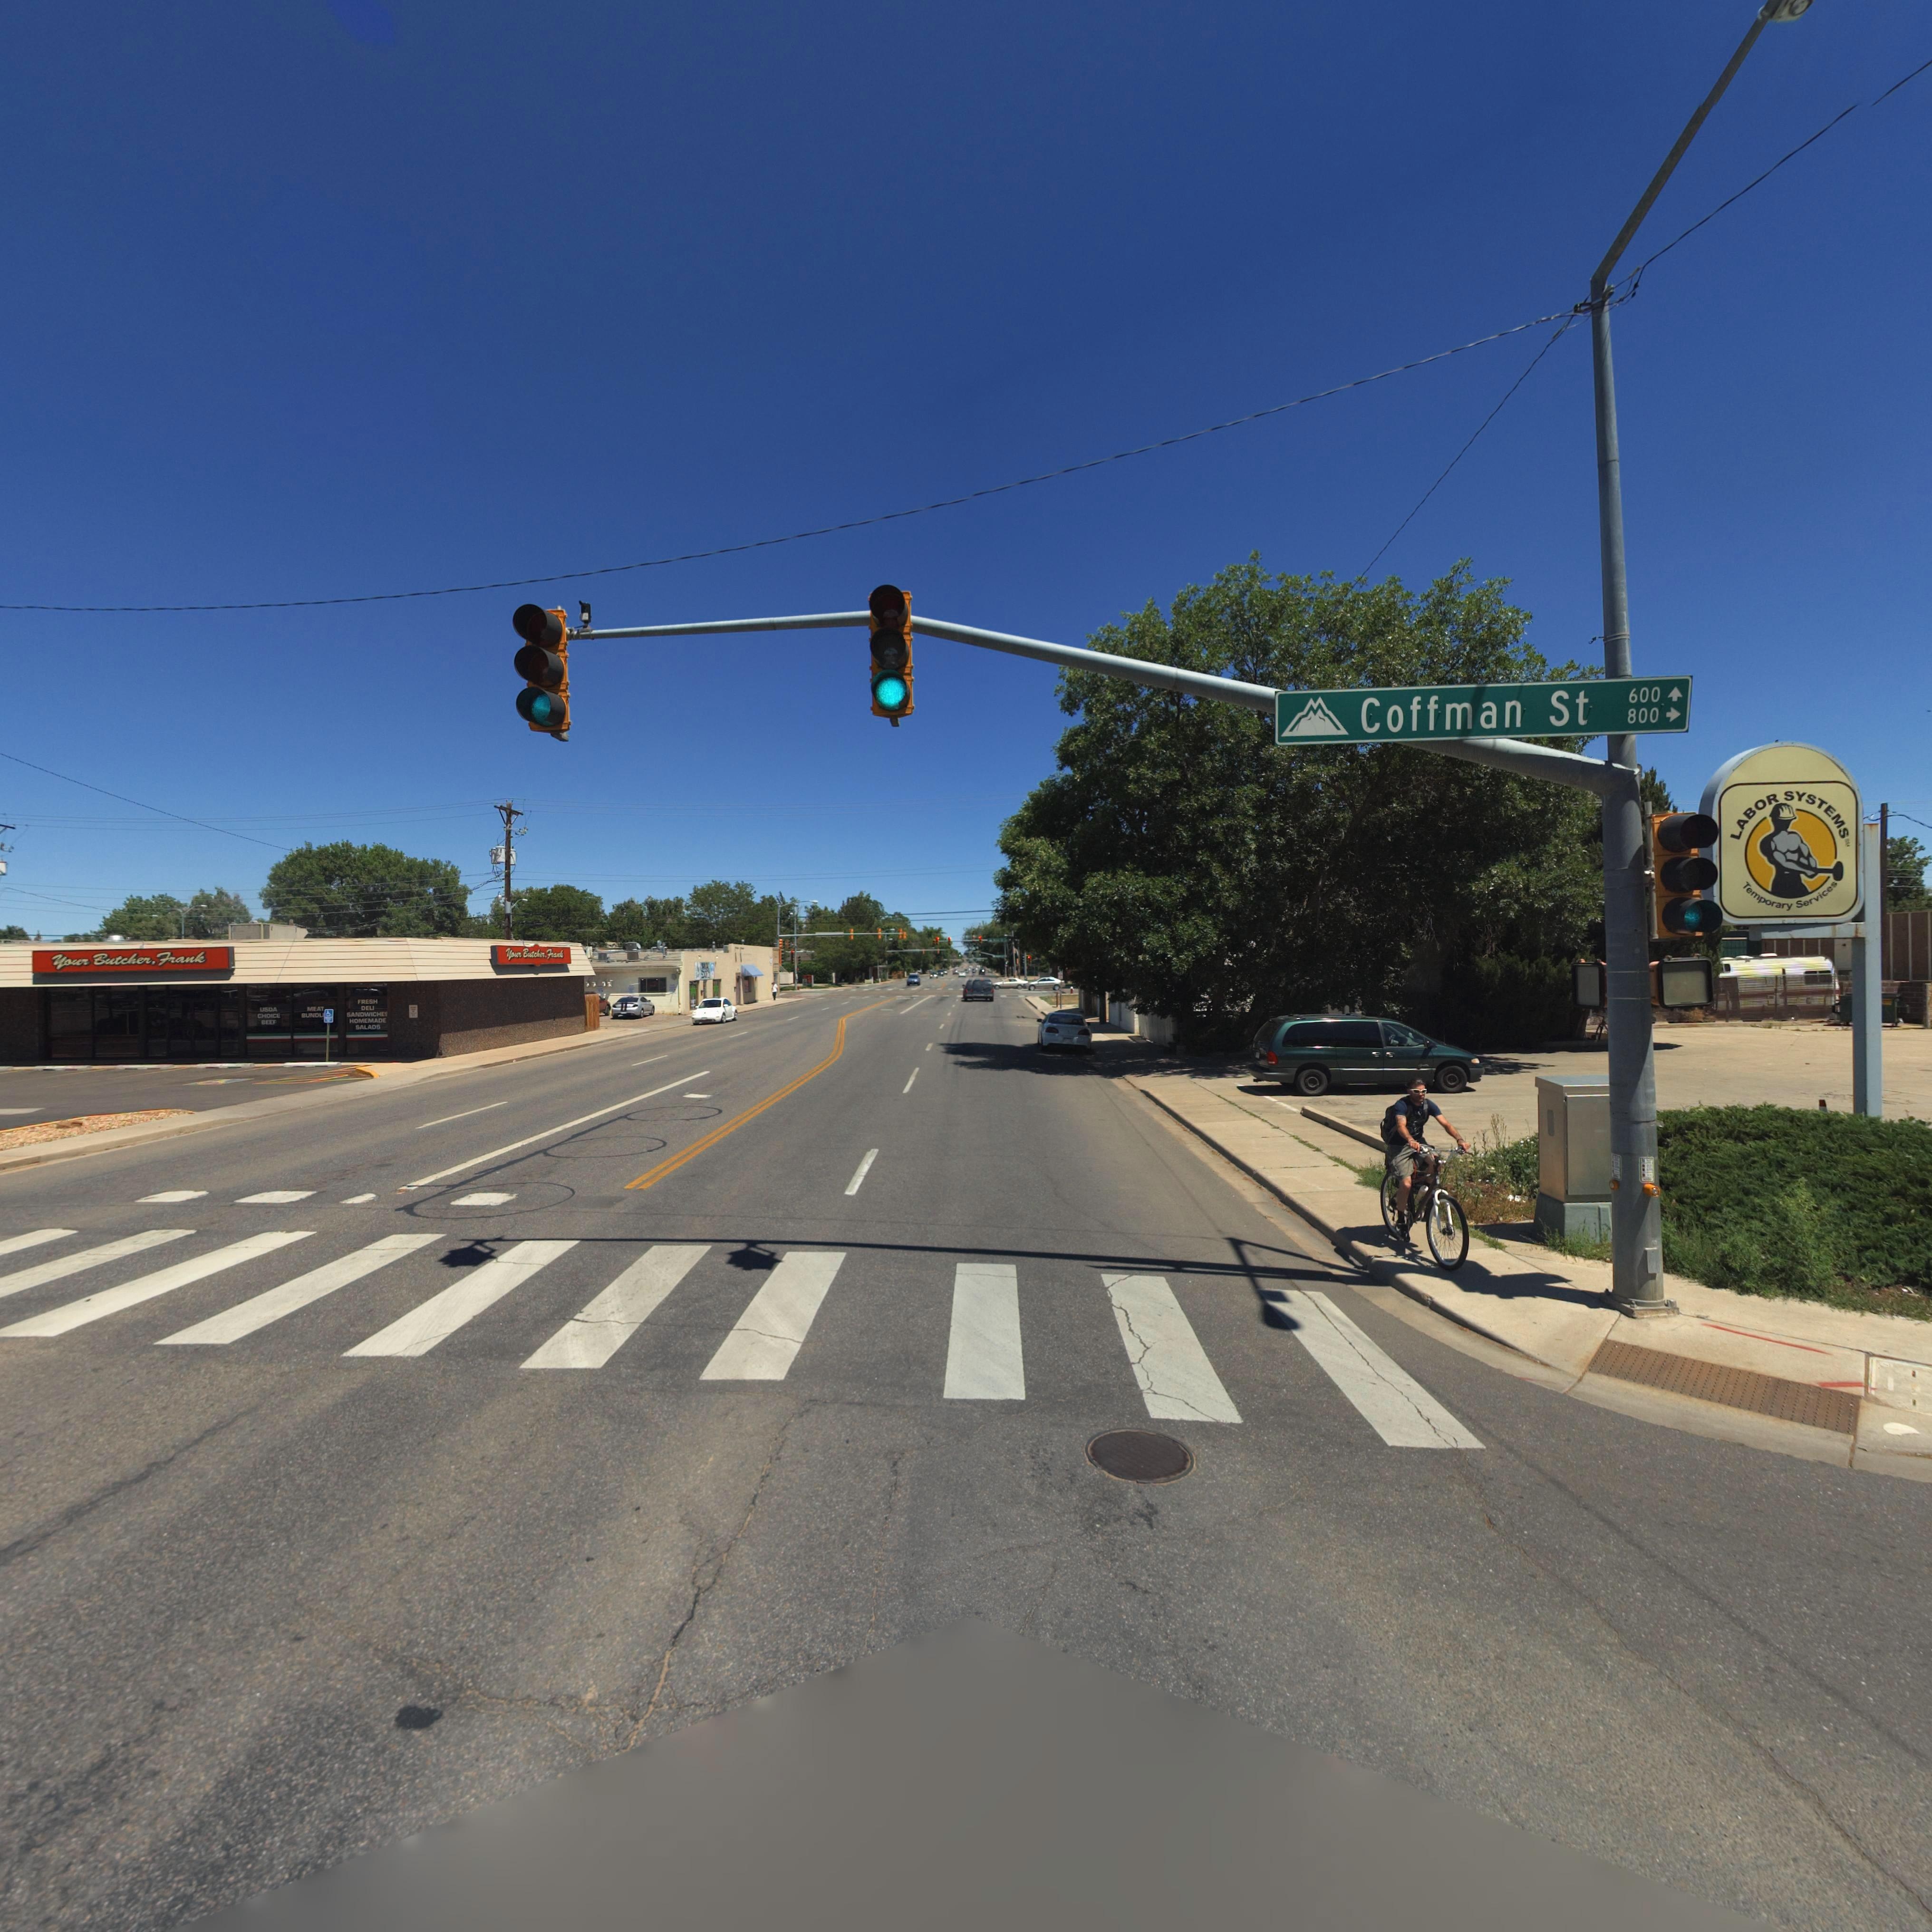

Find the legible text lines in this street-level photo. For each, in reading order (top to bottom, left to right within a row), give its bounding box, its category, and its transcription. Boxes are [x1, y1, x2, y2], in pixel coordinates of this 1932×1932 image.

[1628, 686, 1661, 704] StreetNumberRange: 600
[1360, 689, 1589, 734] StreetName: Coffman St
[1627, 706, 1682, 724] StreetNumberRange: 800->
[1729, 790, 1849, 840] BusinessName: LABOR SYSTEMS
[1742, 880, 1838, 911] BusinessName: Temporary Services
[50, 949, 208, 971] BusinessName: Your Butcher, Frank
[505, 947, 564, 961] BusinessName: Your Butcher, Frank
[700, 970, 710, 978] BusinessName: S*O&&
[701, 962, 710, 969] BusinessName: M**